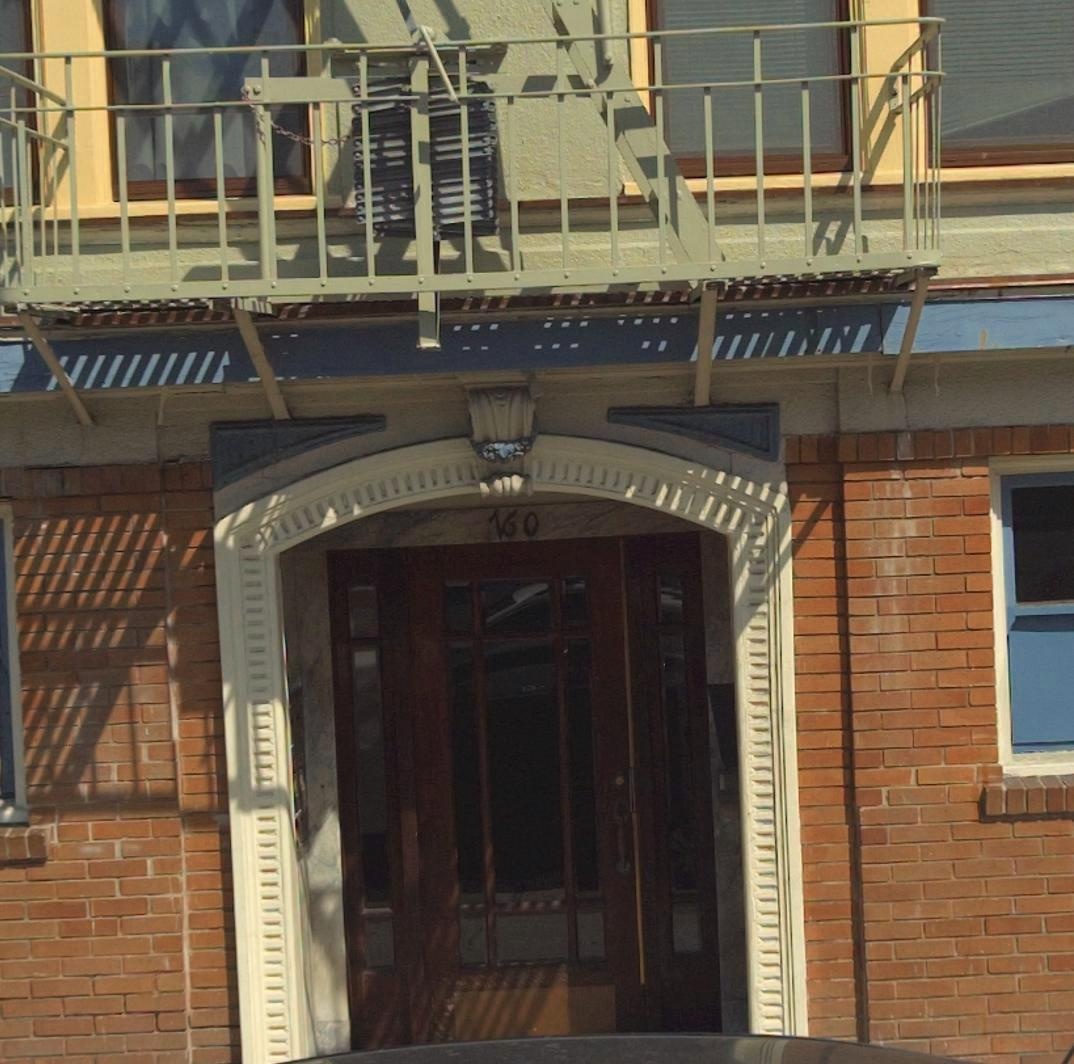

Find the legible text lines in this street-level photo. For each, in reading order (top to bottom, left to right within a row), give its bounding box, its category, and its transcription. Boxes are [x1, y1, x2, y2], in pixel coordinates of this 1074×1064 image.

[488, 508, 541, 540] StreetNumber: 160